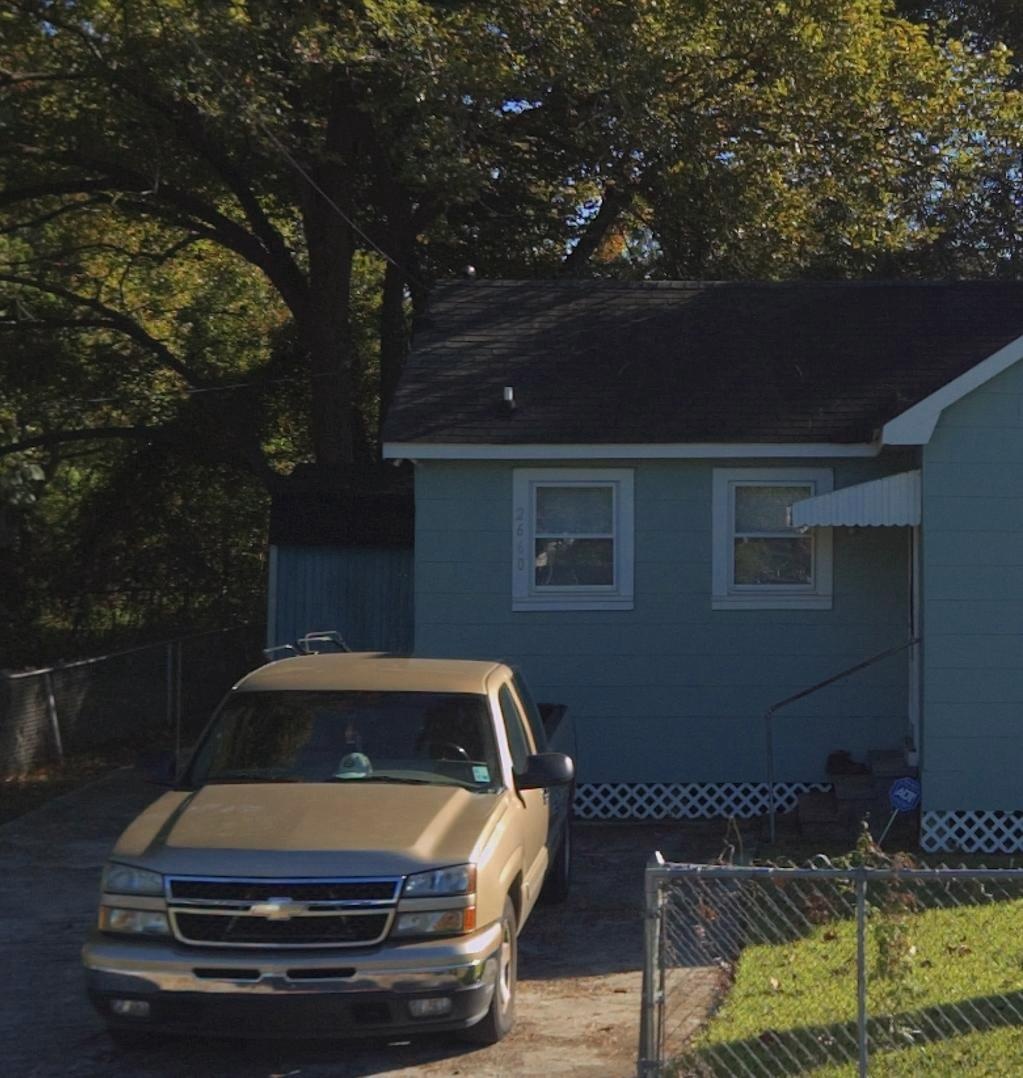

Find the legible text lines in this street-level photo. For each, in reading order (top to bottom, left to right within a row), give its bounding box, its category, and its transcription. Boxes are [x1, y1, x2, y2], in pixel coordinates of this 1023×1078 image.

[515, 504, 525, 572] StreetNumber: 2660
[891, 785, 920, 805] None: ADT